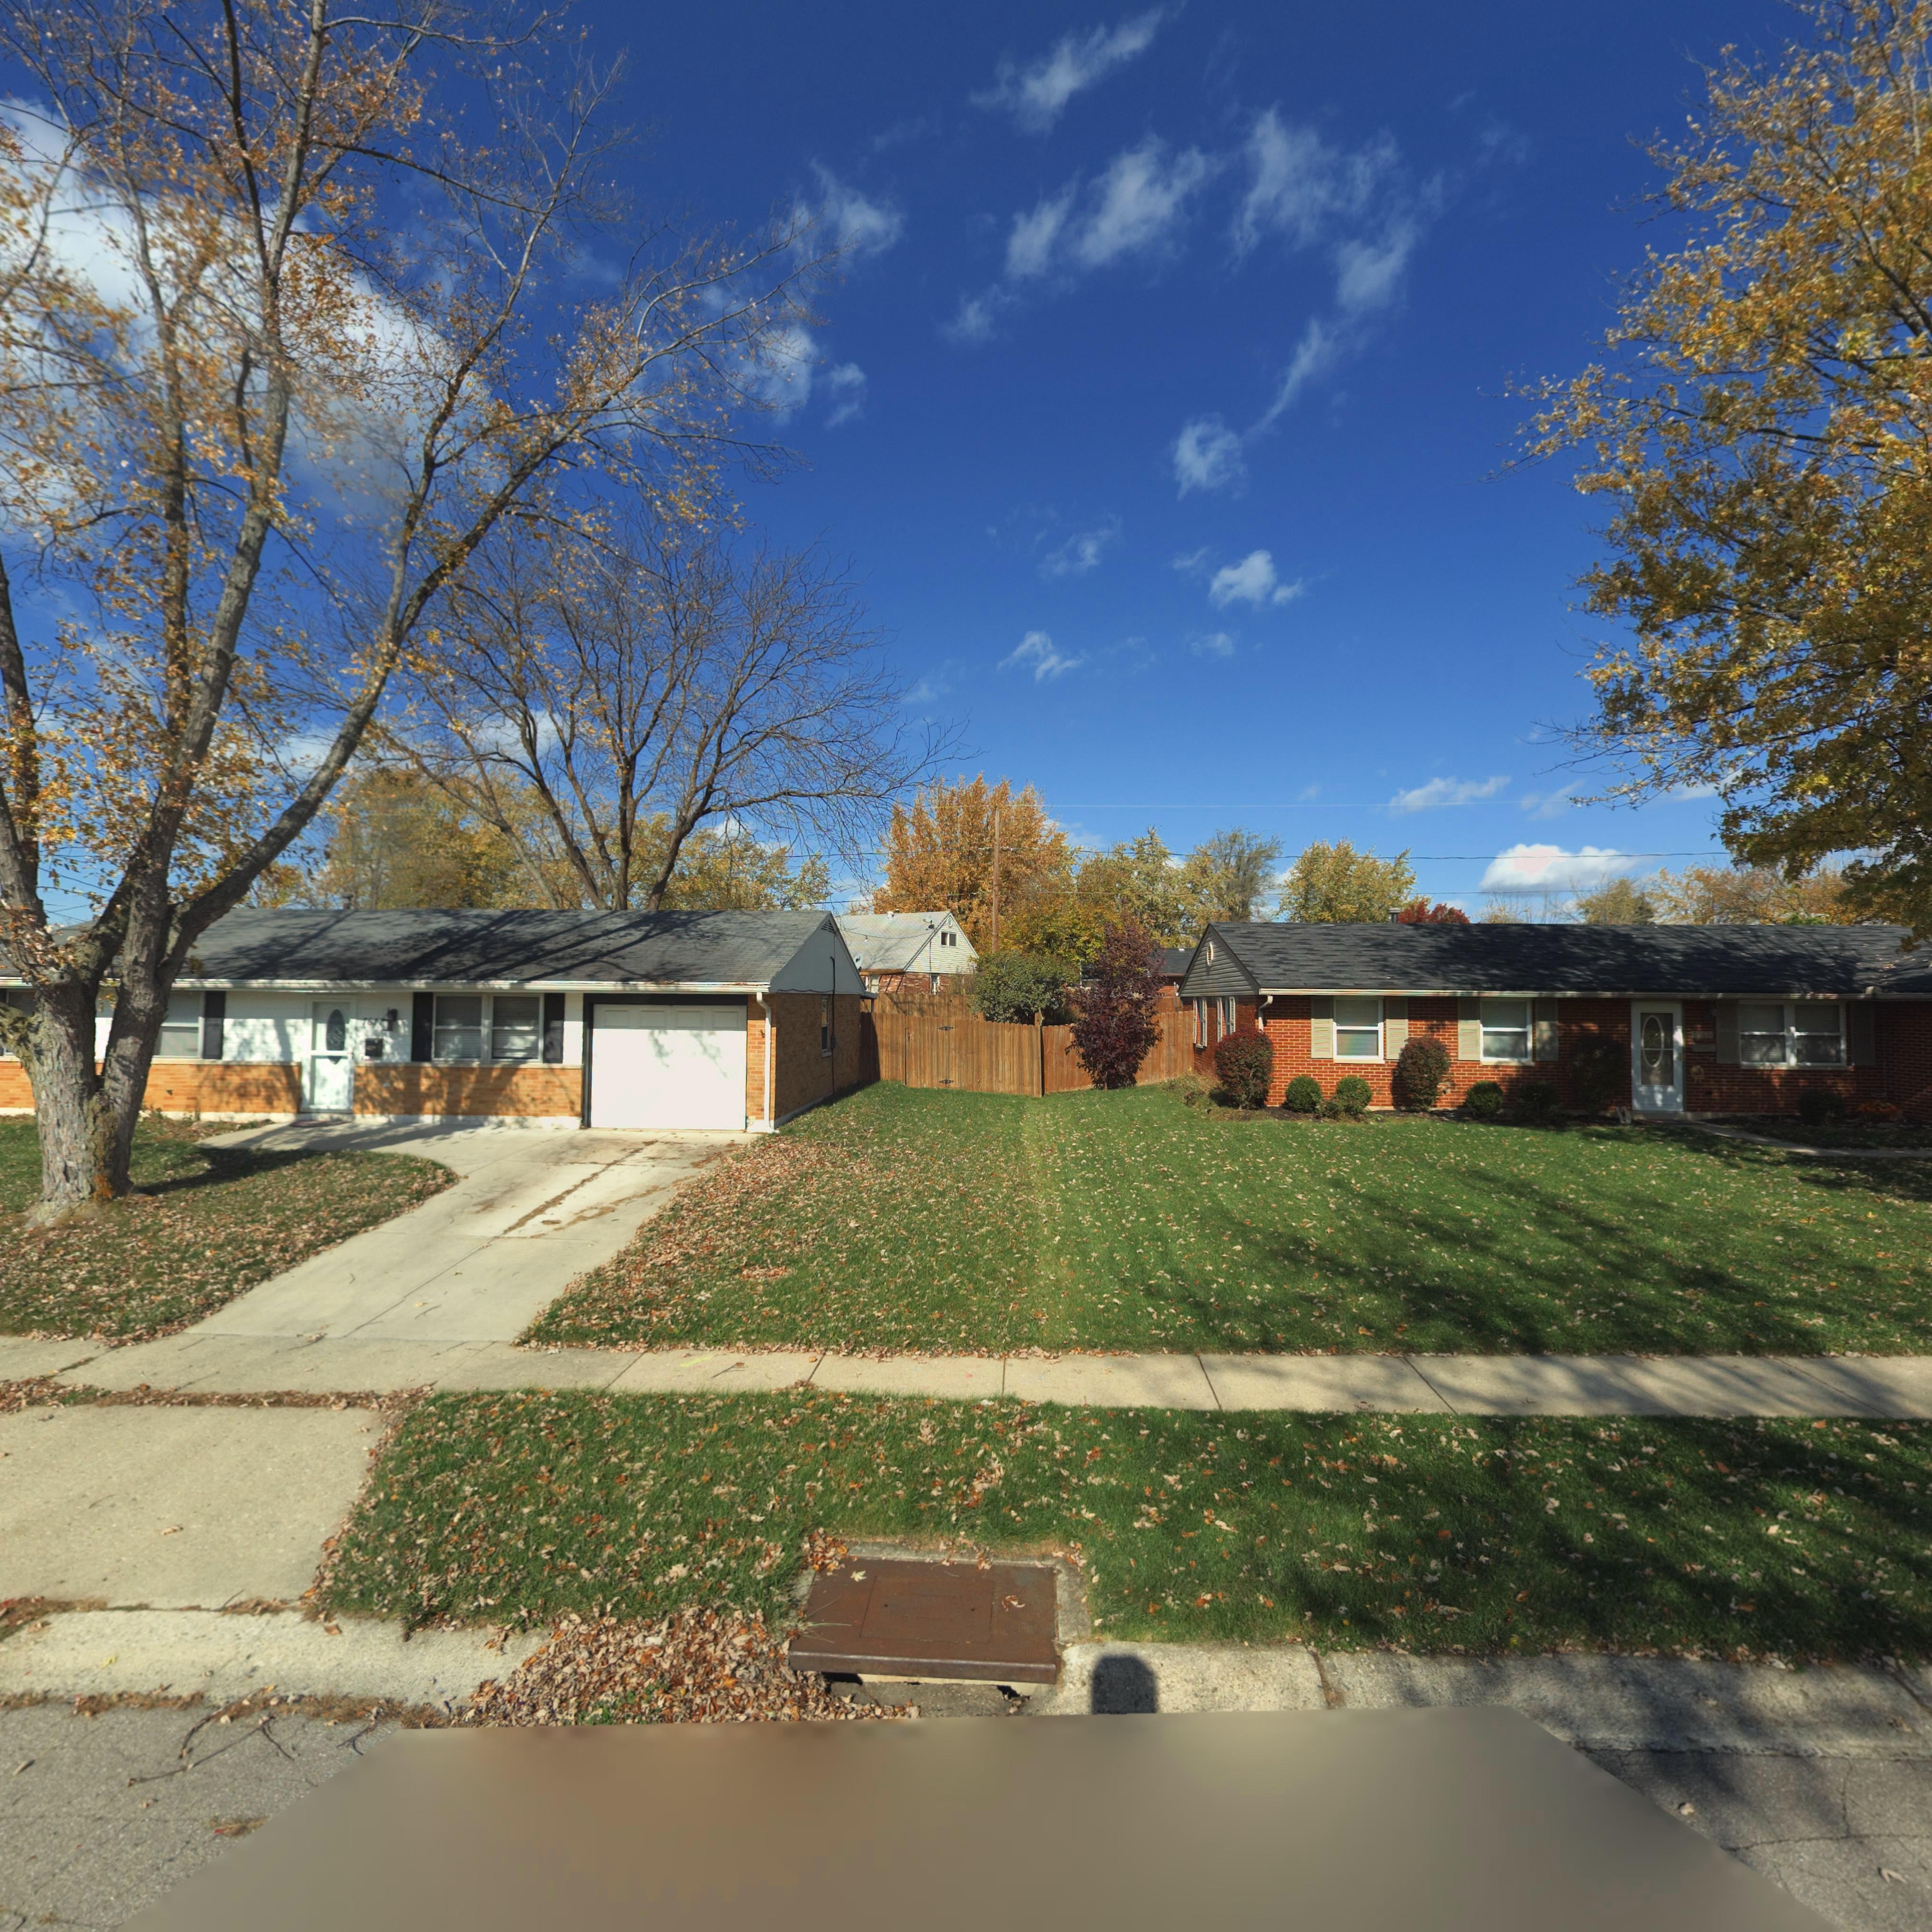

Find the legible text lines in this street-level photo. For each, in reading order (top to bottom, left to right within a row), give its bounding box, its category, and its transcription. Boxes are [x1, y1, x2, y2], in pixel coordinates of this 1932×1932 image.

[361, 1017, 378, 1026] StreetNumber: 761